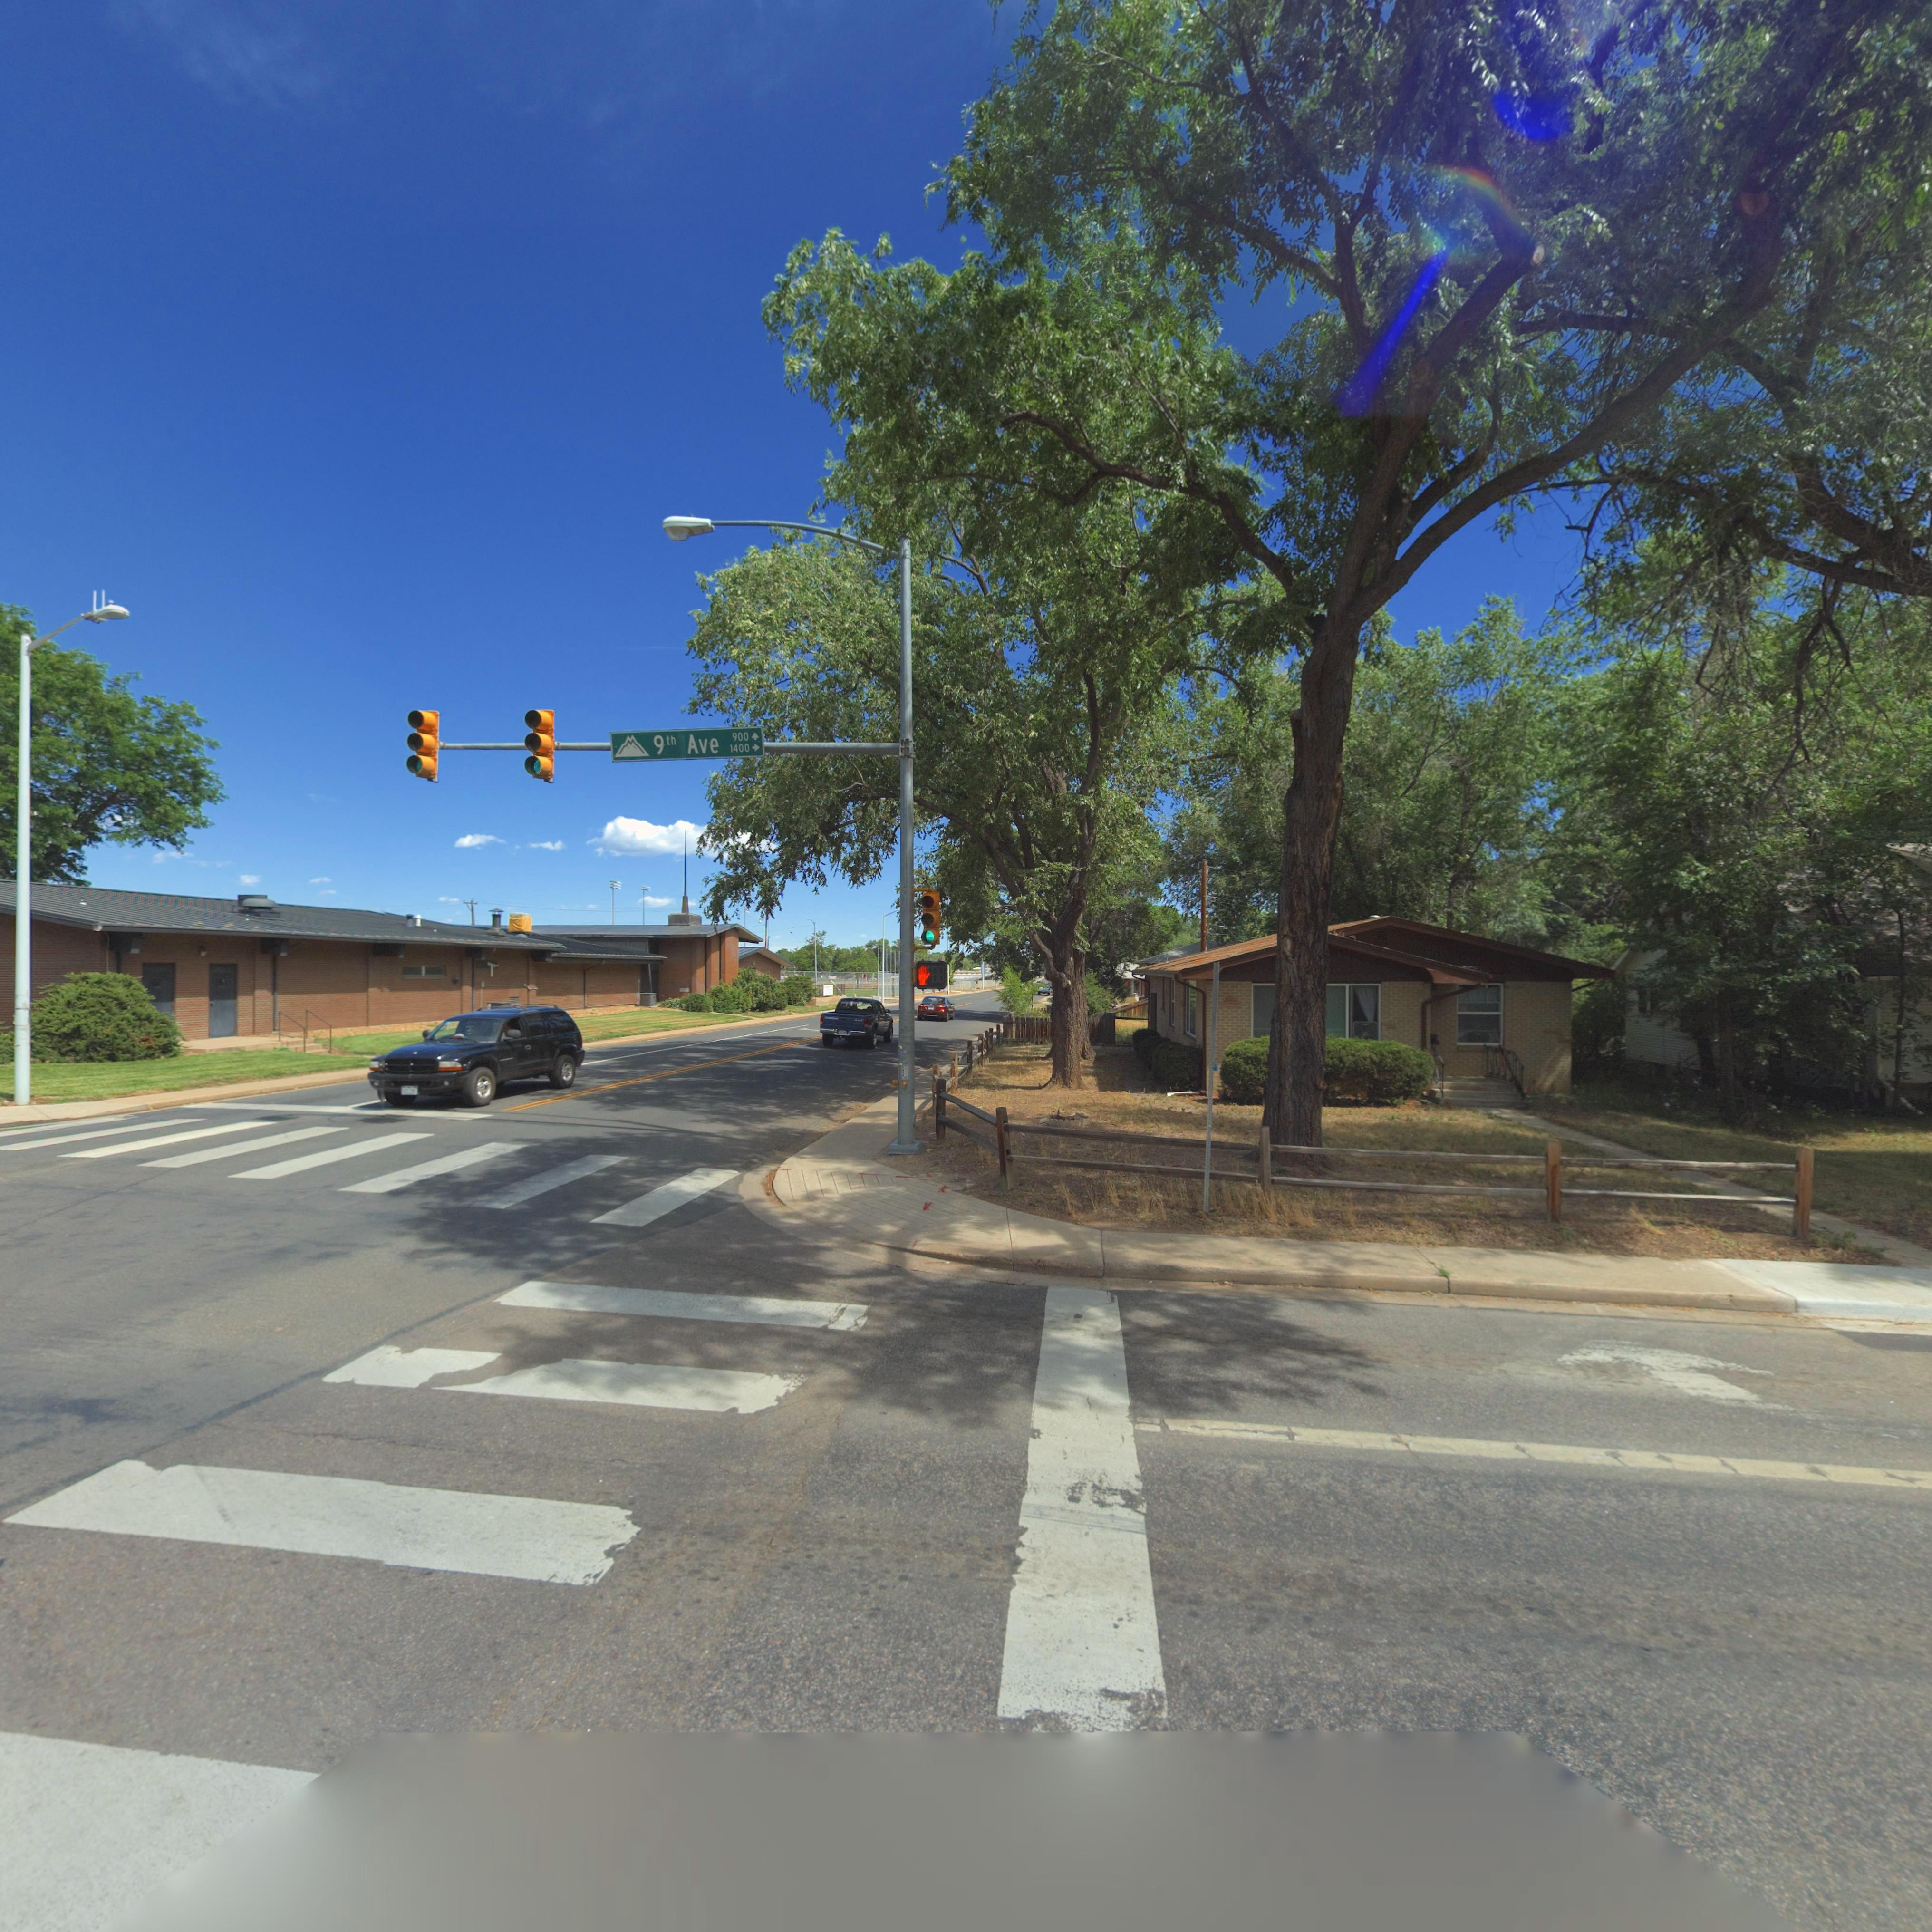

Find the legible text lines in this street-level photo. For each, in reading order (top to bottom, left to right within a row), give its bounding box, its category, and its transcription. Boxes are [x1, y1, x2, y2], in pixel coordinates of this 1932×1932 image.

[732, 732, 749, 741] StreetNumberRange: 900
[653, 733, 719, 755] StreetName: 9th Ave
[730, 743, 760, 753] StreetNumberRange: 1400 ->